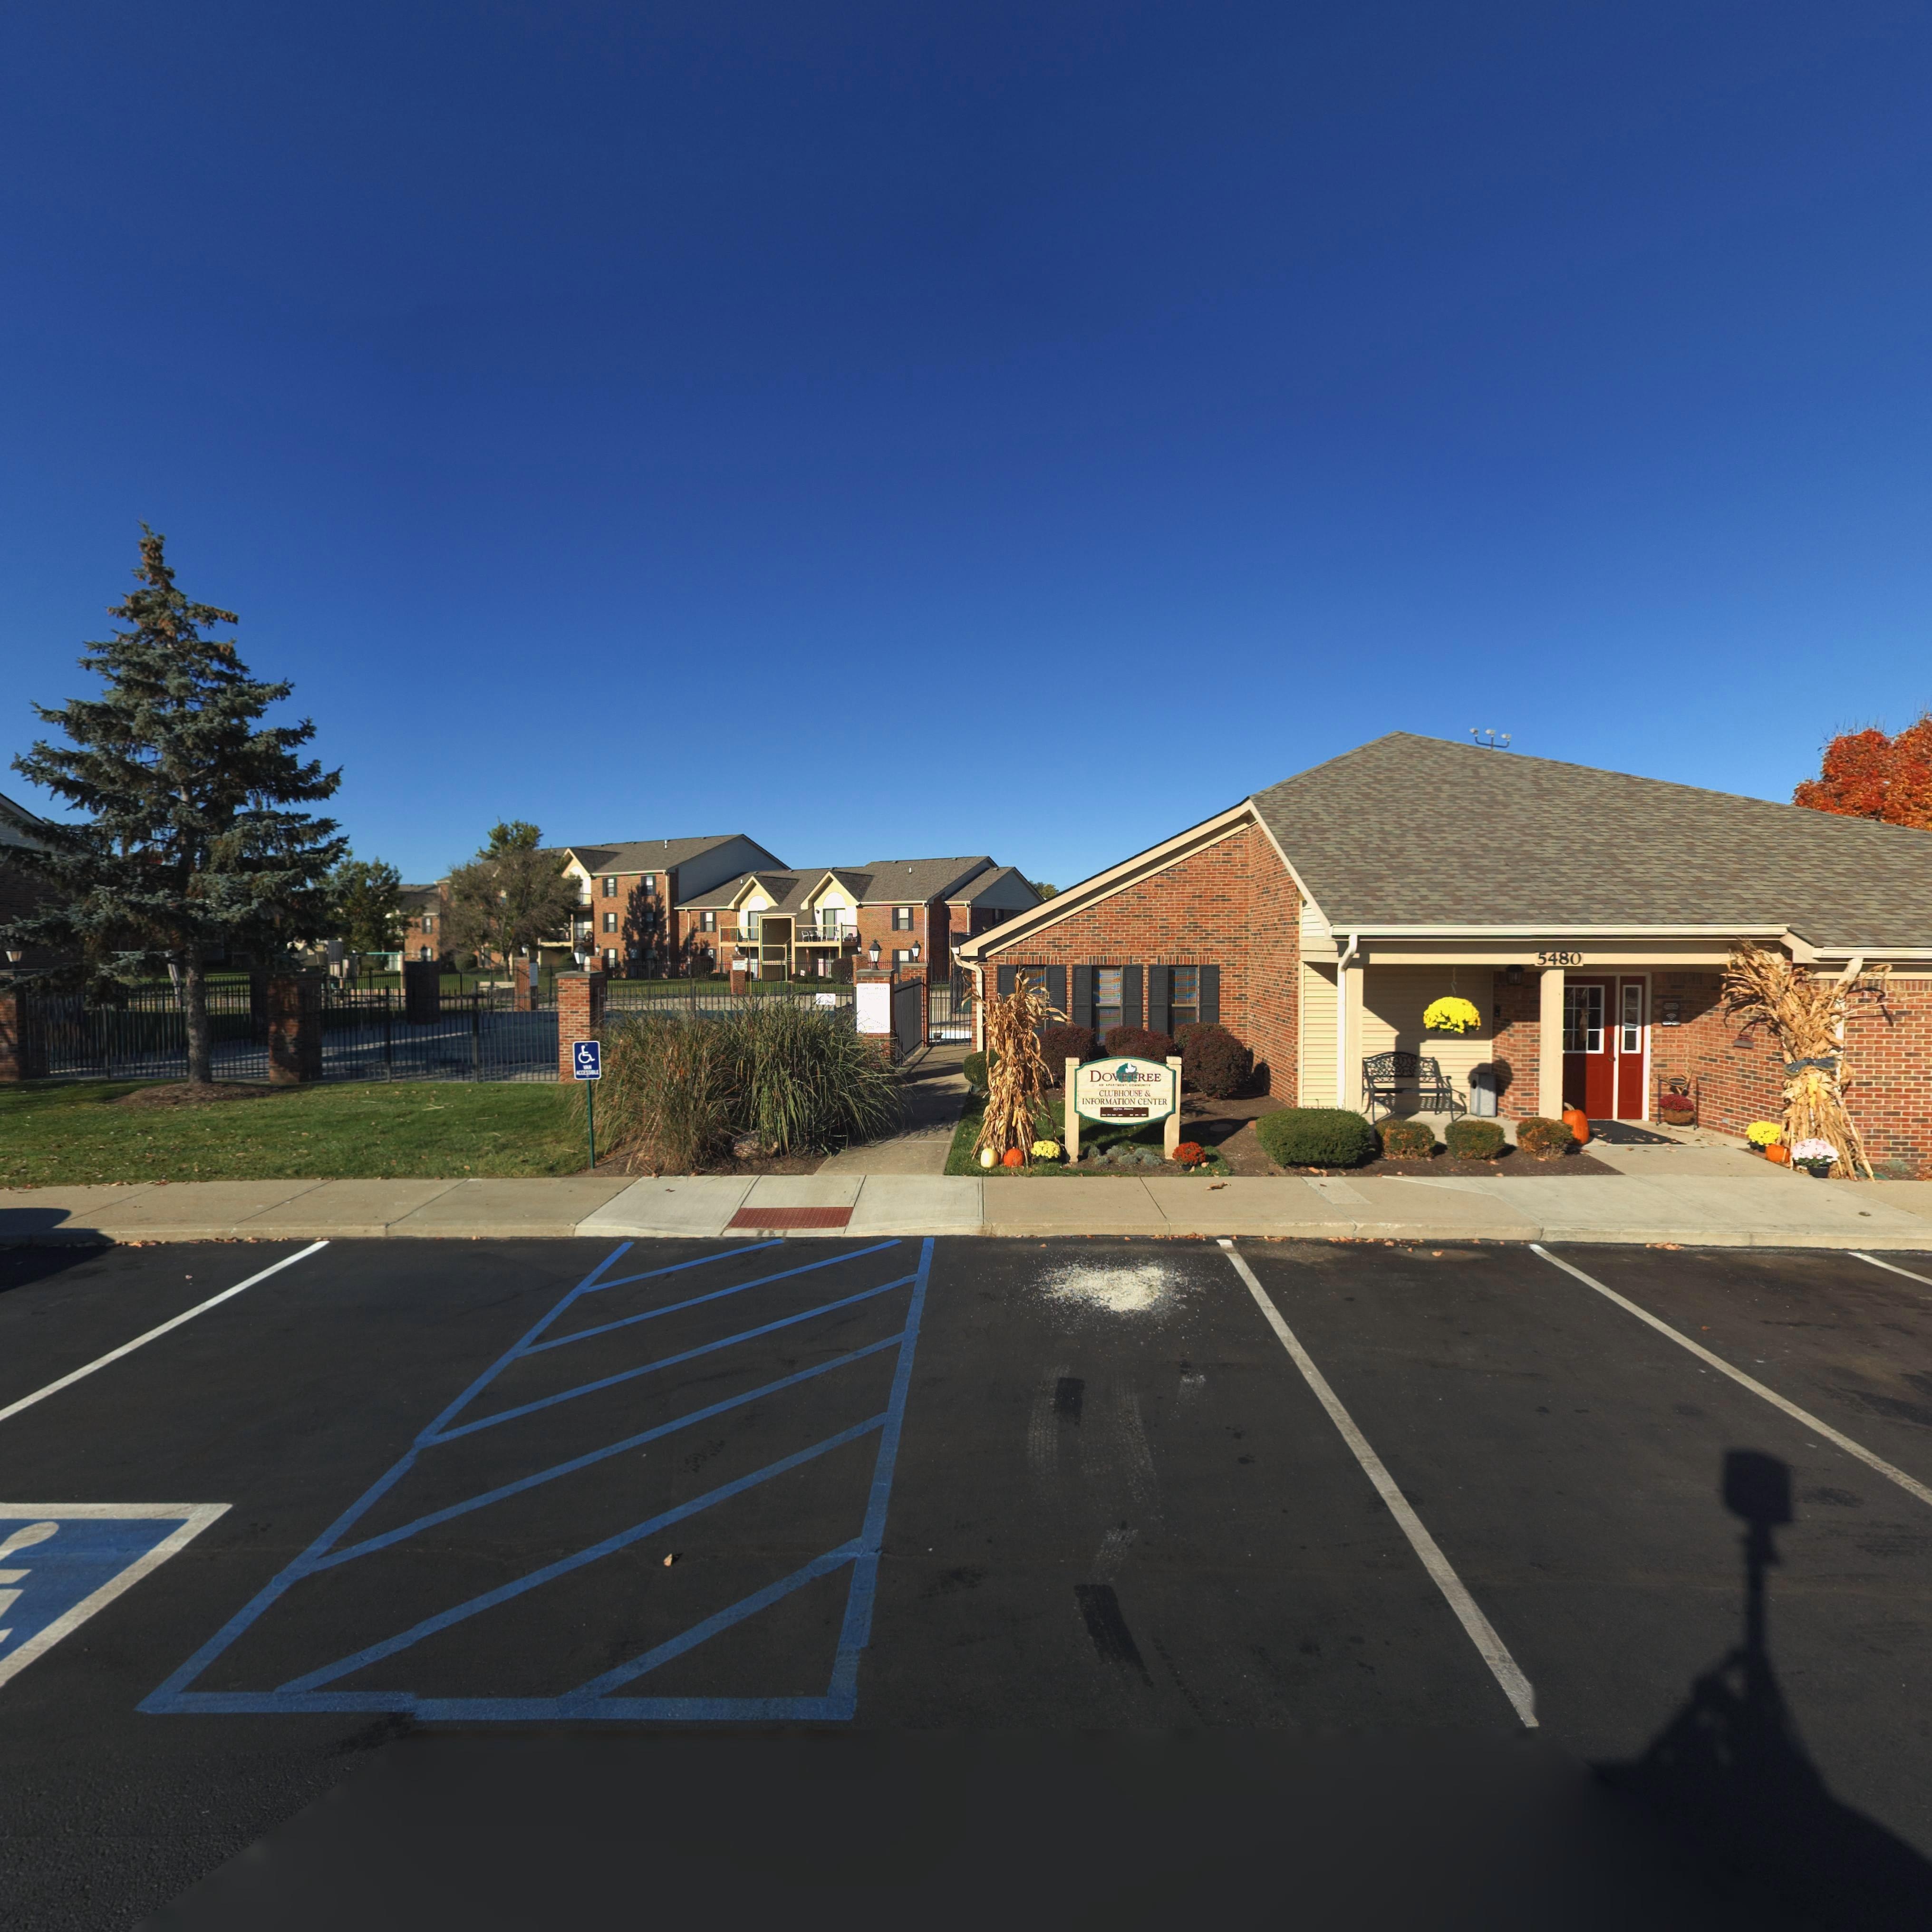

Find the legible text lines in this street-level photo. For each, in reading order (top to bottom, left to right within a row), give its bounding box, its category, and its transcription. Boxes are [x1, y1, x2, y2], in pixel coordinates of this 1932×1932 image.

[1536, 950, 1583, 967] StreetNumber: 5480